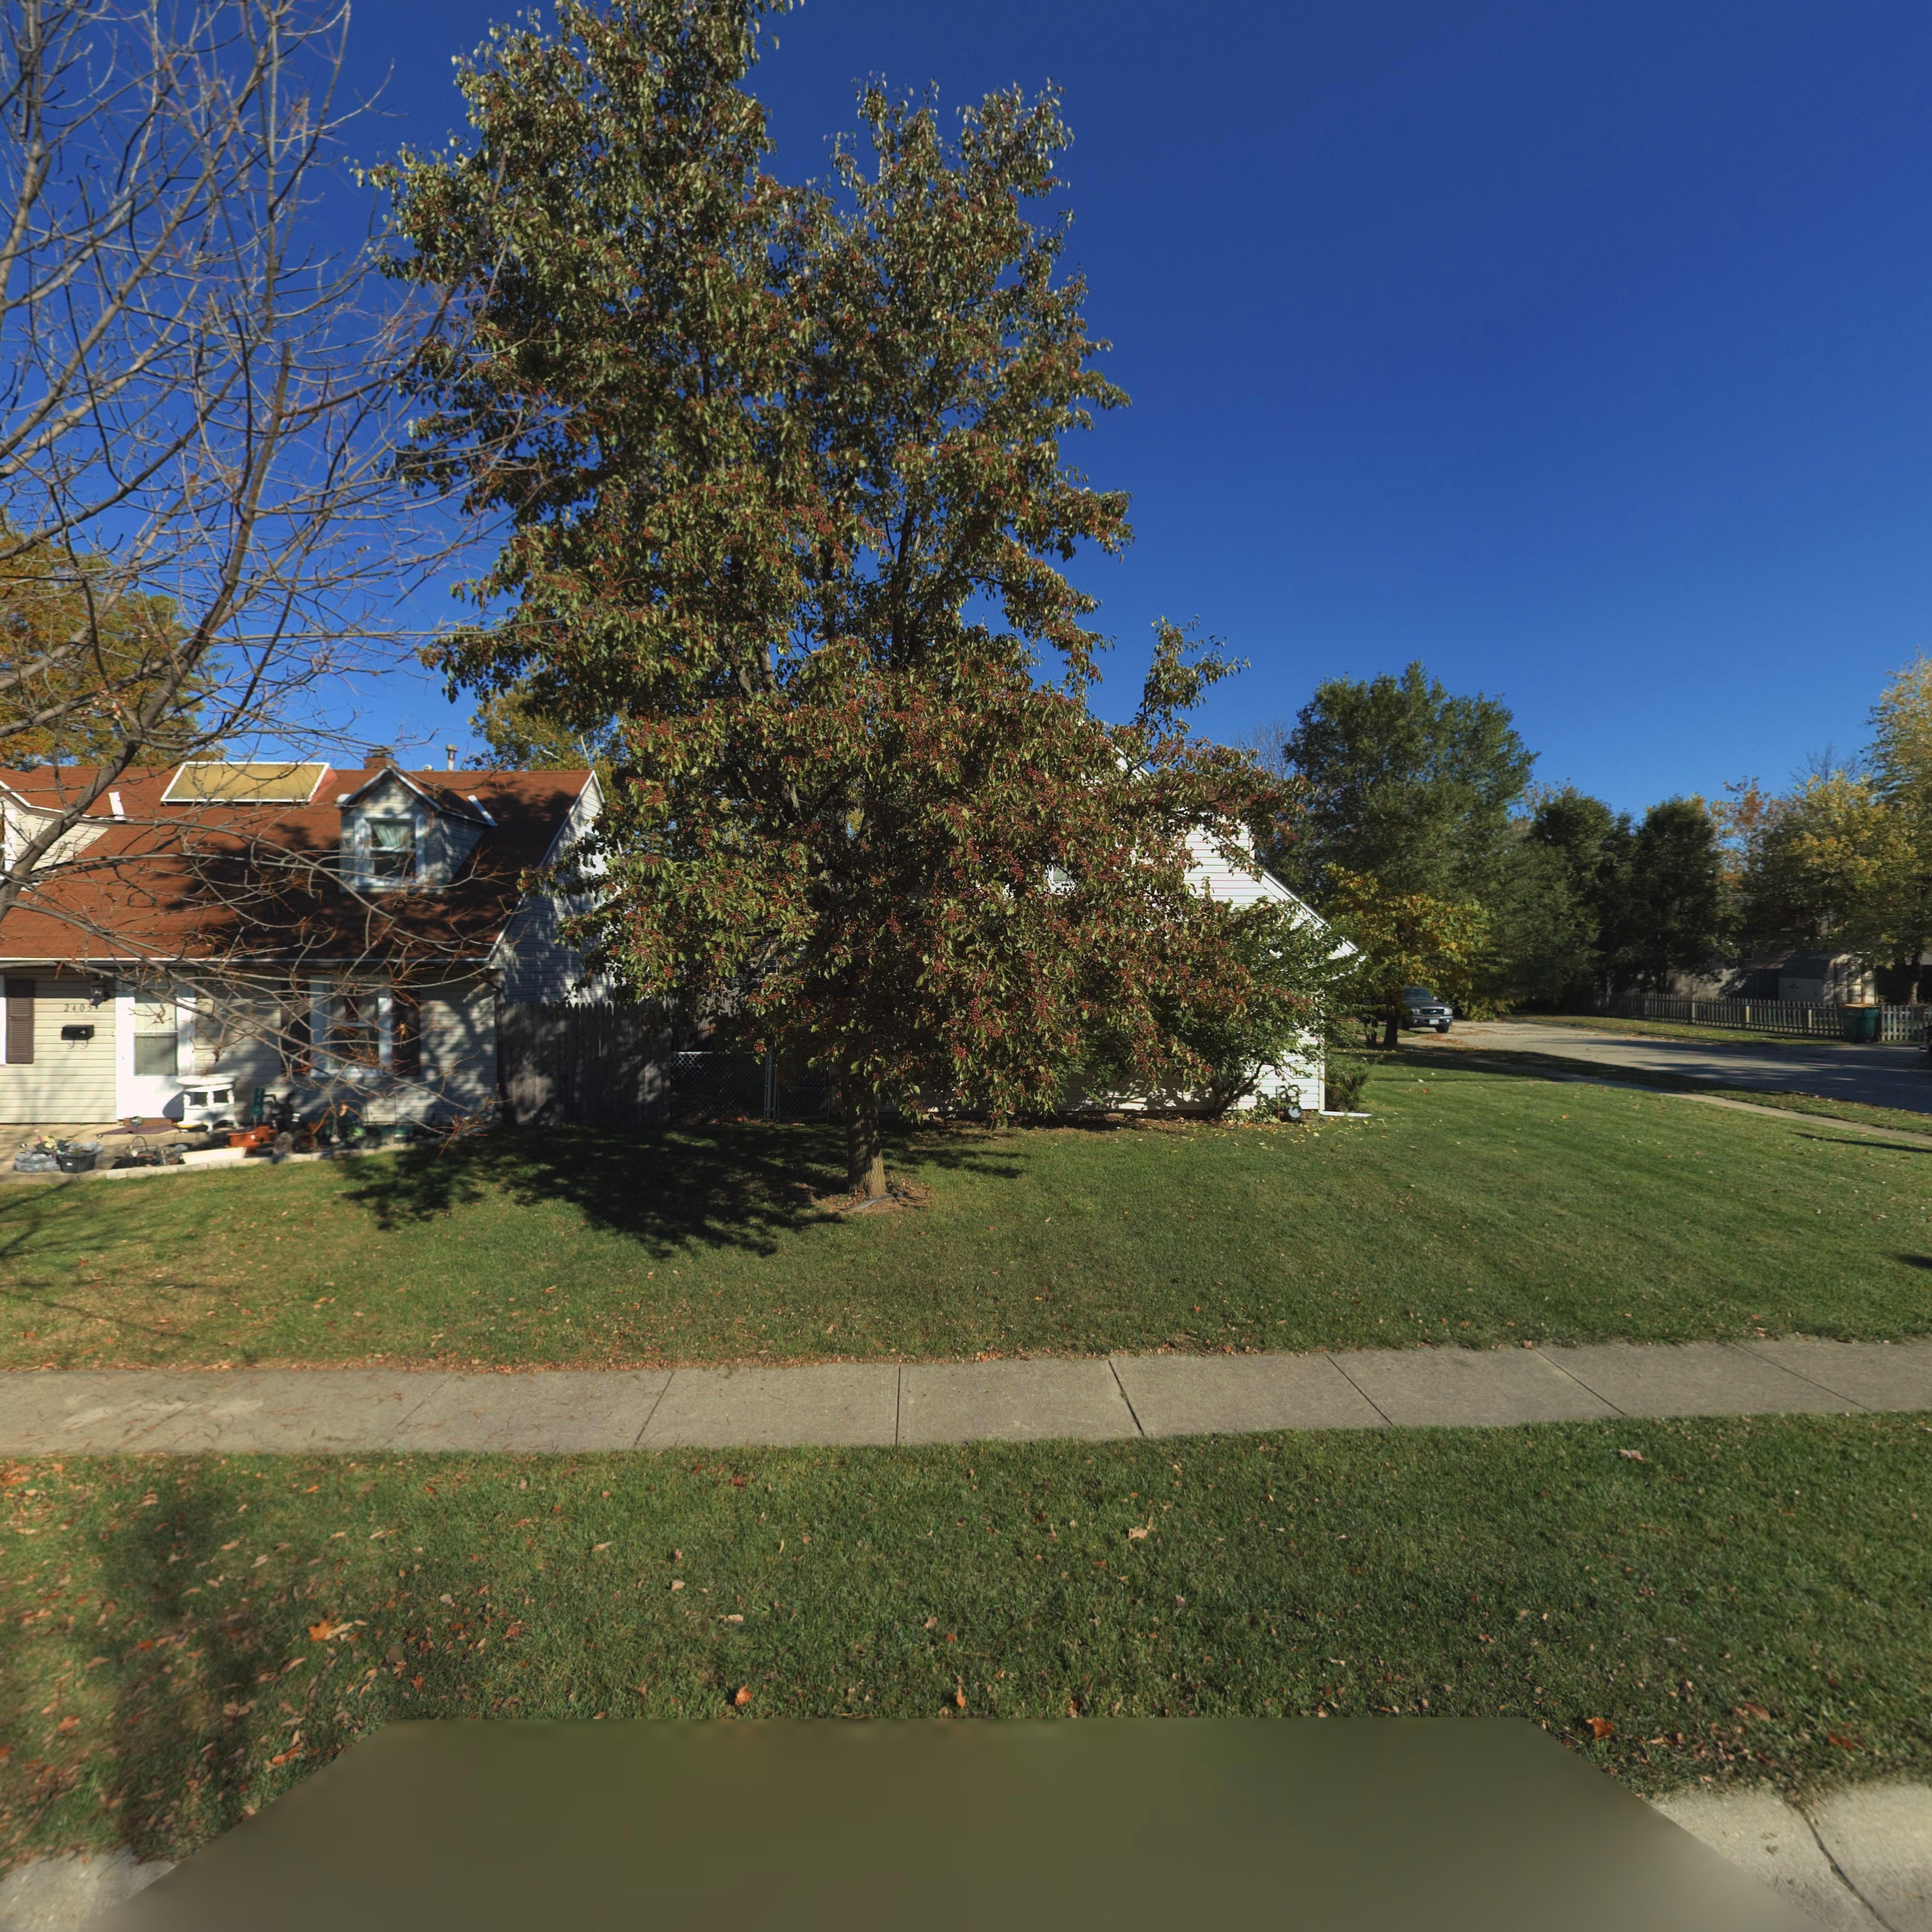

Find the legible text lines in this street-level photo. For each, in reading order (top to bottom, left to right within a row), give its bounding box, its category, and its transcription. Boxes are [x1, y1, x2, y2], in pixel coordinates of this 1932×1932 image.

[62, 1003, 93, 1013] StreetNumber: 240*